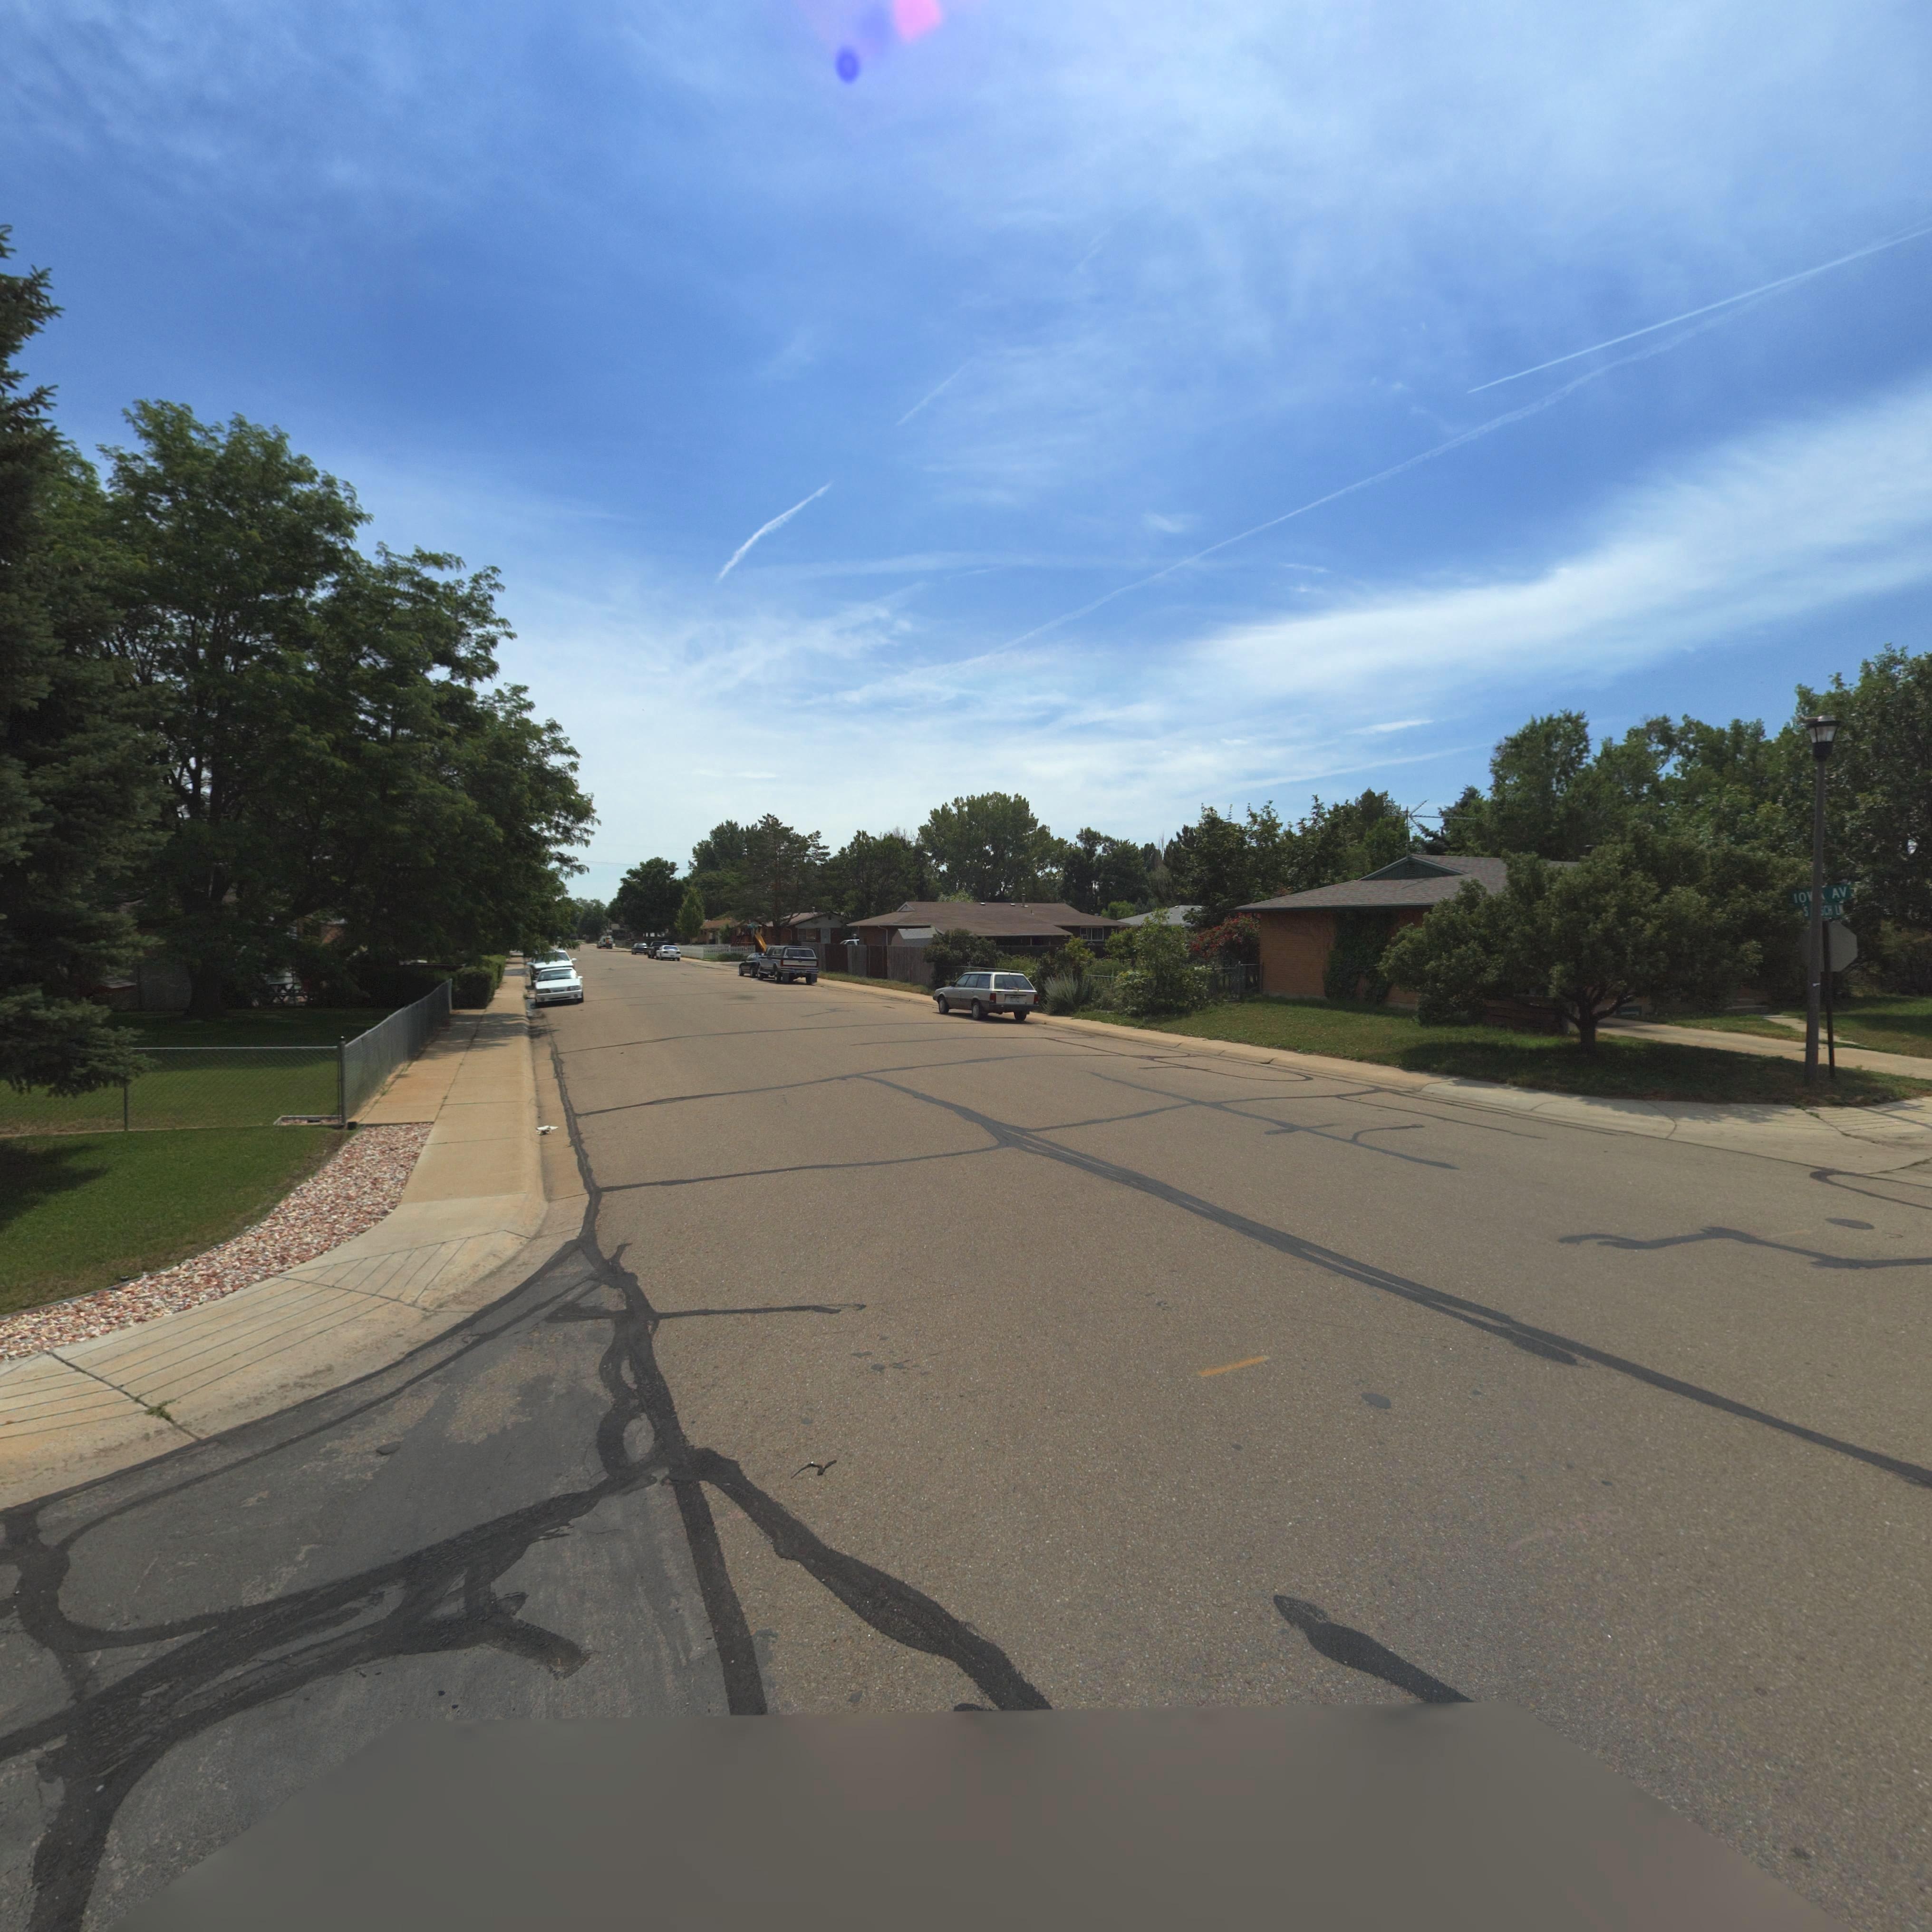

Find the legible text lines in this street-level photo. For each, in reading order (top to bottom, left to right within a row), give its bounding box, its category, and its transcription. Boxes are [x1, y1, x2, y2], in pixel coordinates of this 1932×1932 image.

[1793, 886, 1847, 903] StreetName: IO** AV
[1803, 904, 1844, 916] StreetName: S ***CH LN